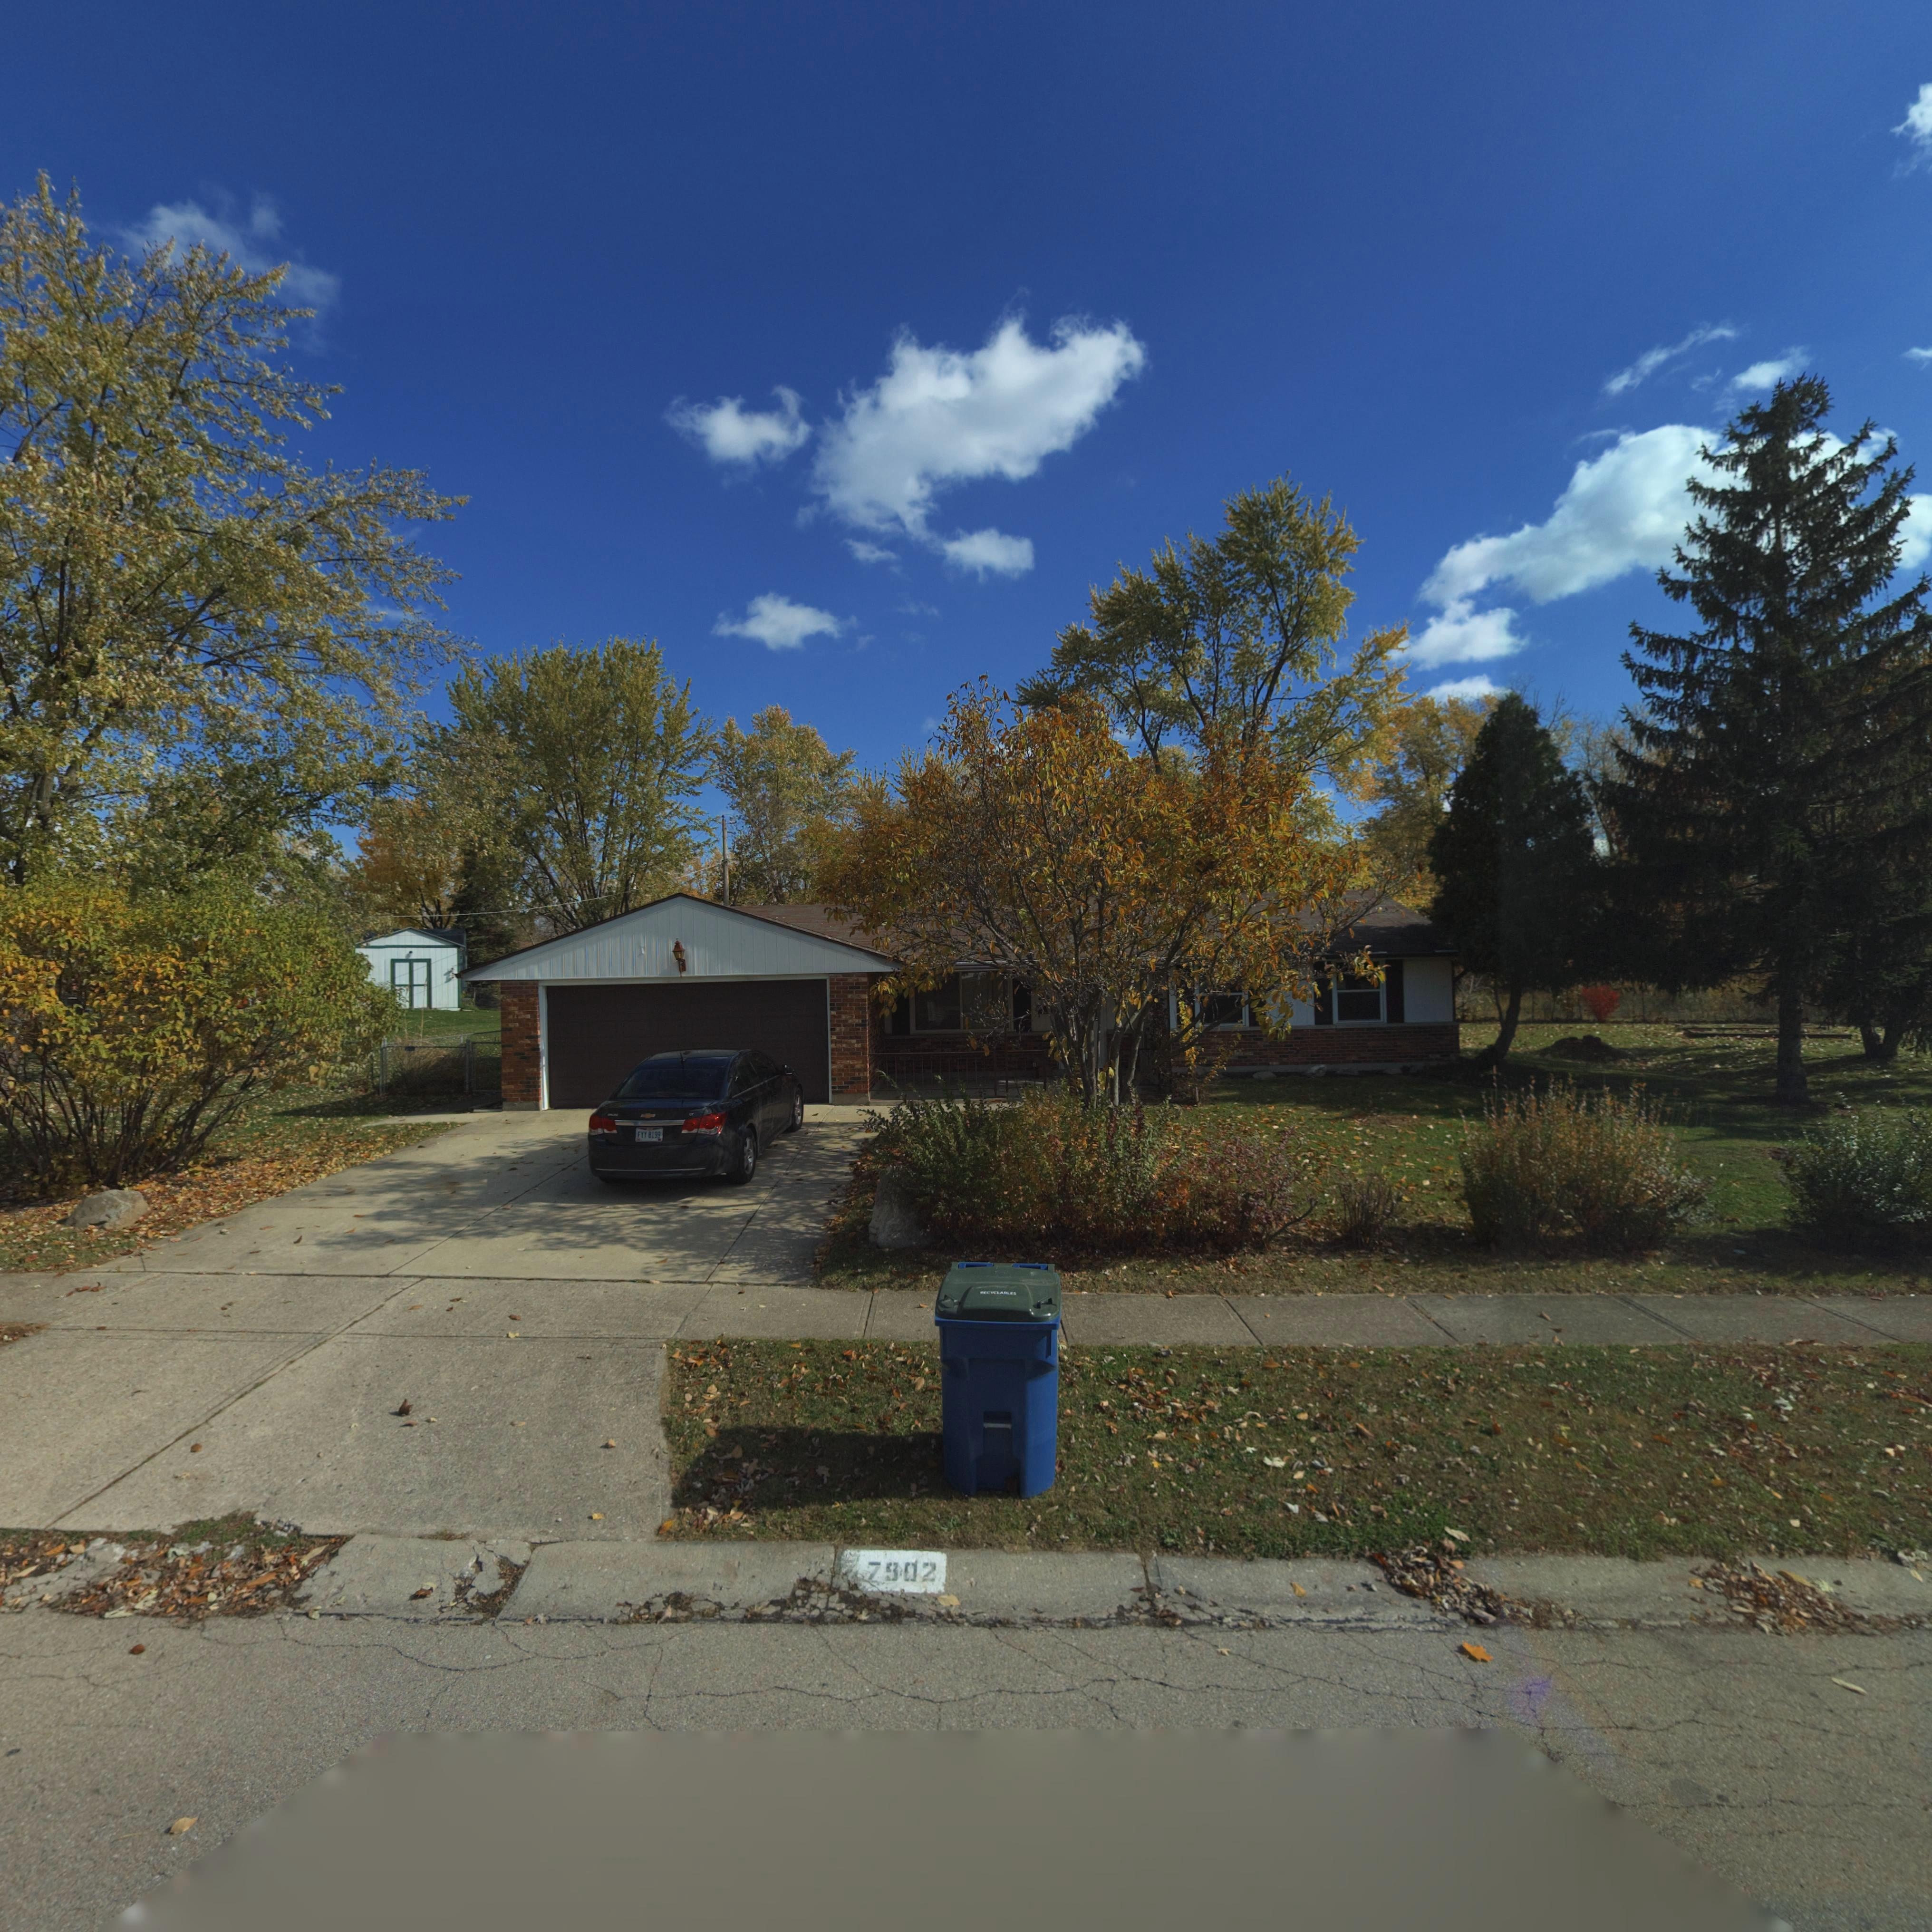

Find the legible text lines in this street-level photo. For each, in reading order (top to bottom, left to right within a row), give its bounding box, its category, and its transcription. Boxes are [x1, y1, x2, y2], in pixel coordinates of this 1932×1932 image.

[867, 1560, 936, 1582] StreetNumber: 7902